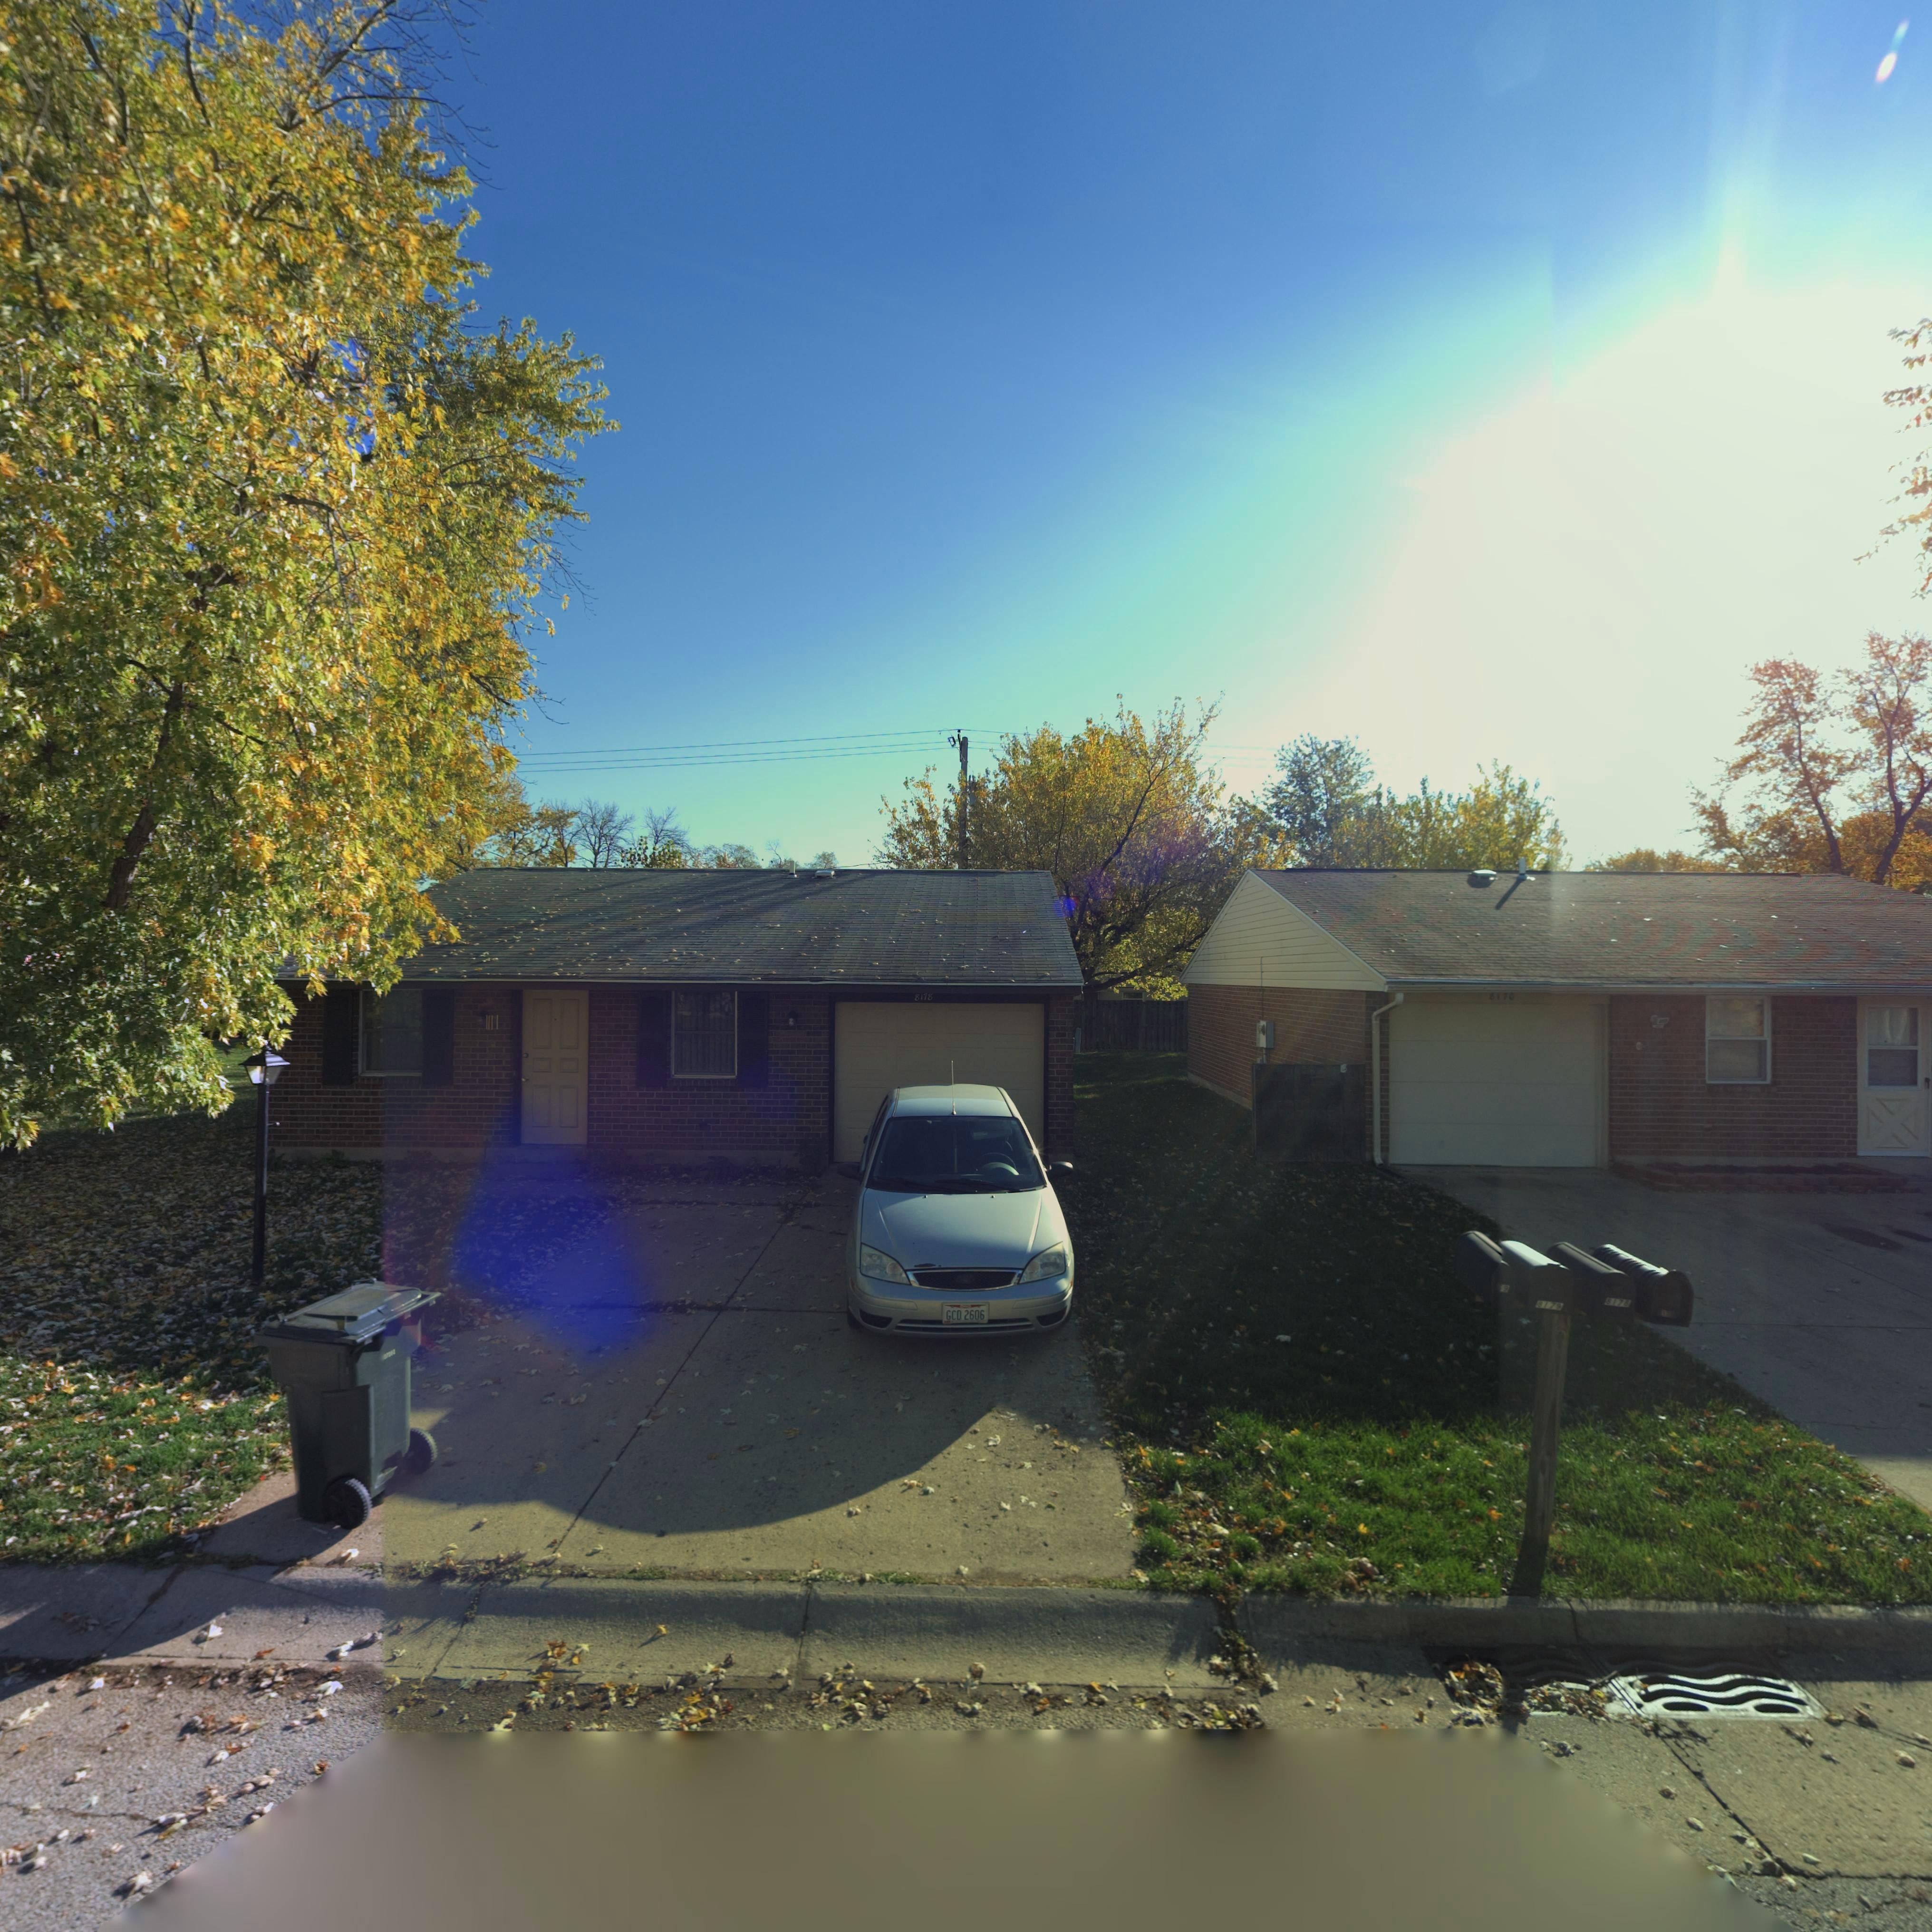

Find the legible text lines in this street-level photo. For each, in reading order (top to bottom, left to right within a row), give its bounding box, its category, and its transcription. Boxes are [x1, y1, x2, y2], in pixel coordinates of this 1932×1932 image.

[913, 992, 934, 1003] StreetNumber: 8178
[1488, 991, 1516, 1002] StreetNumber: 8170
[1502, 1284, 1510, 1293] StreetNumber: 9
[1536, 1300, 1564, 1311] StreetNumber: 8179
[1605, 1297, 1631, 1307] StreetNumber: 8178